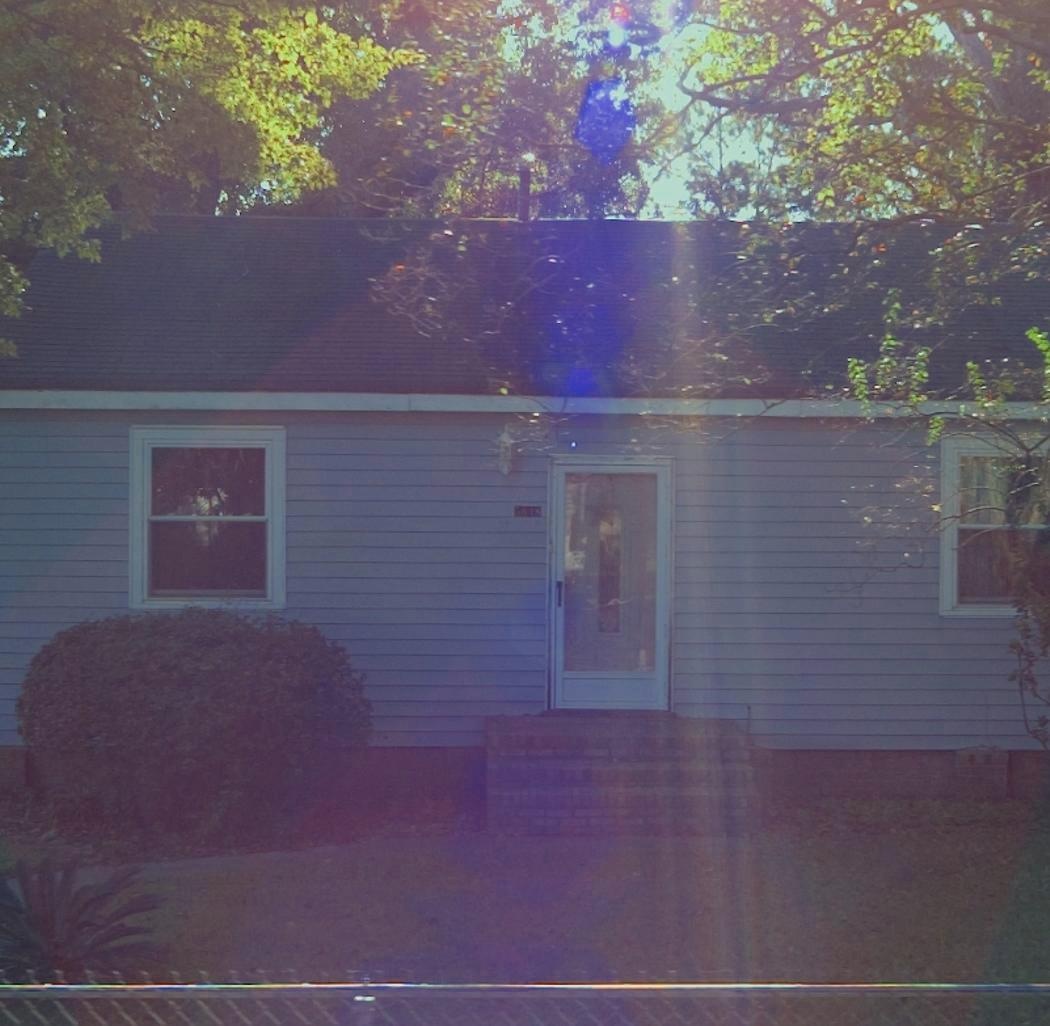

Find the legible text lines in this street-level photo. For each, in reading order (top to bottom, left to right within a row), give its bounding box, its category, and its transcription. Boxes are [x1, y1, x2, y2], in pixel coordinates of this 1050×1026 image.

[515, 506, 541, 517] StreetNumber: 5618